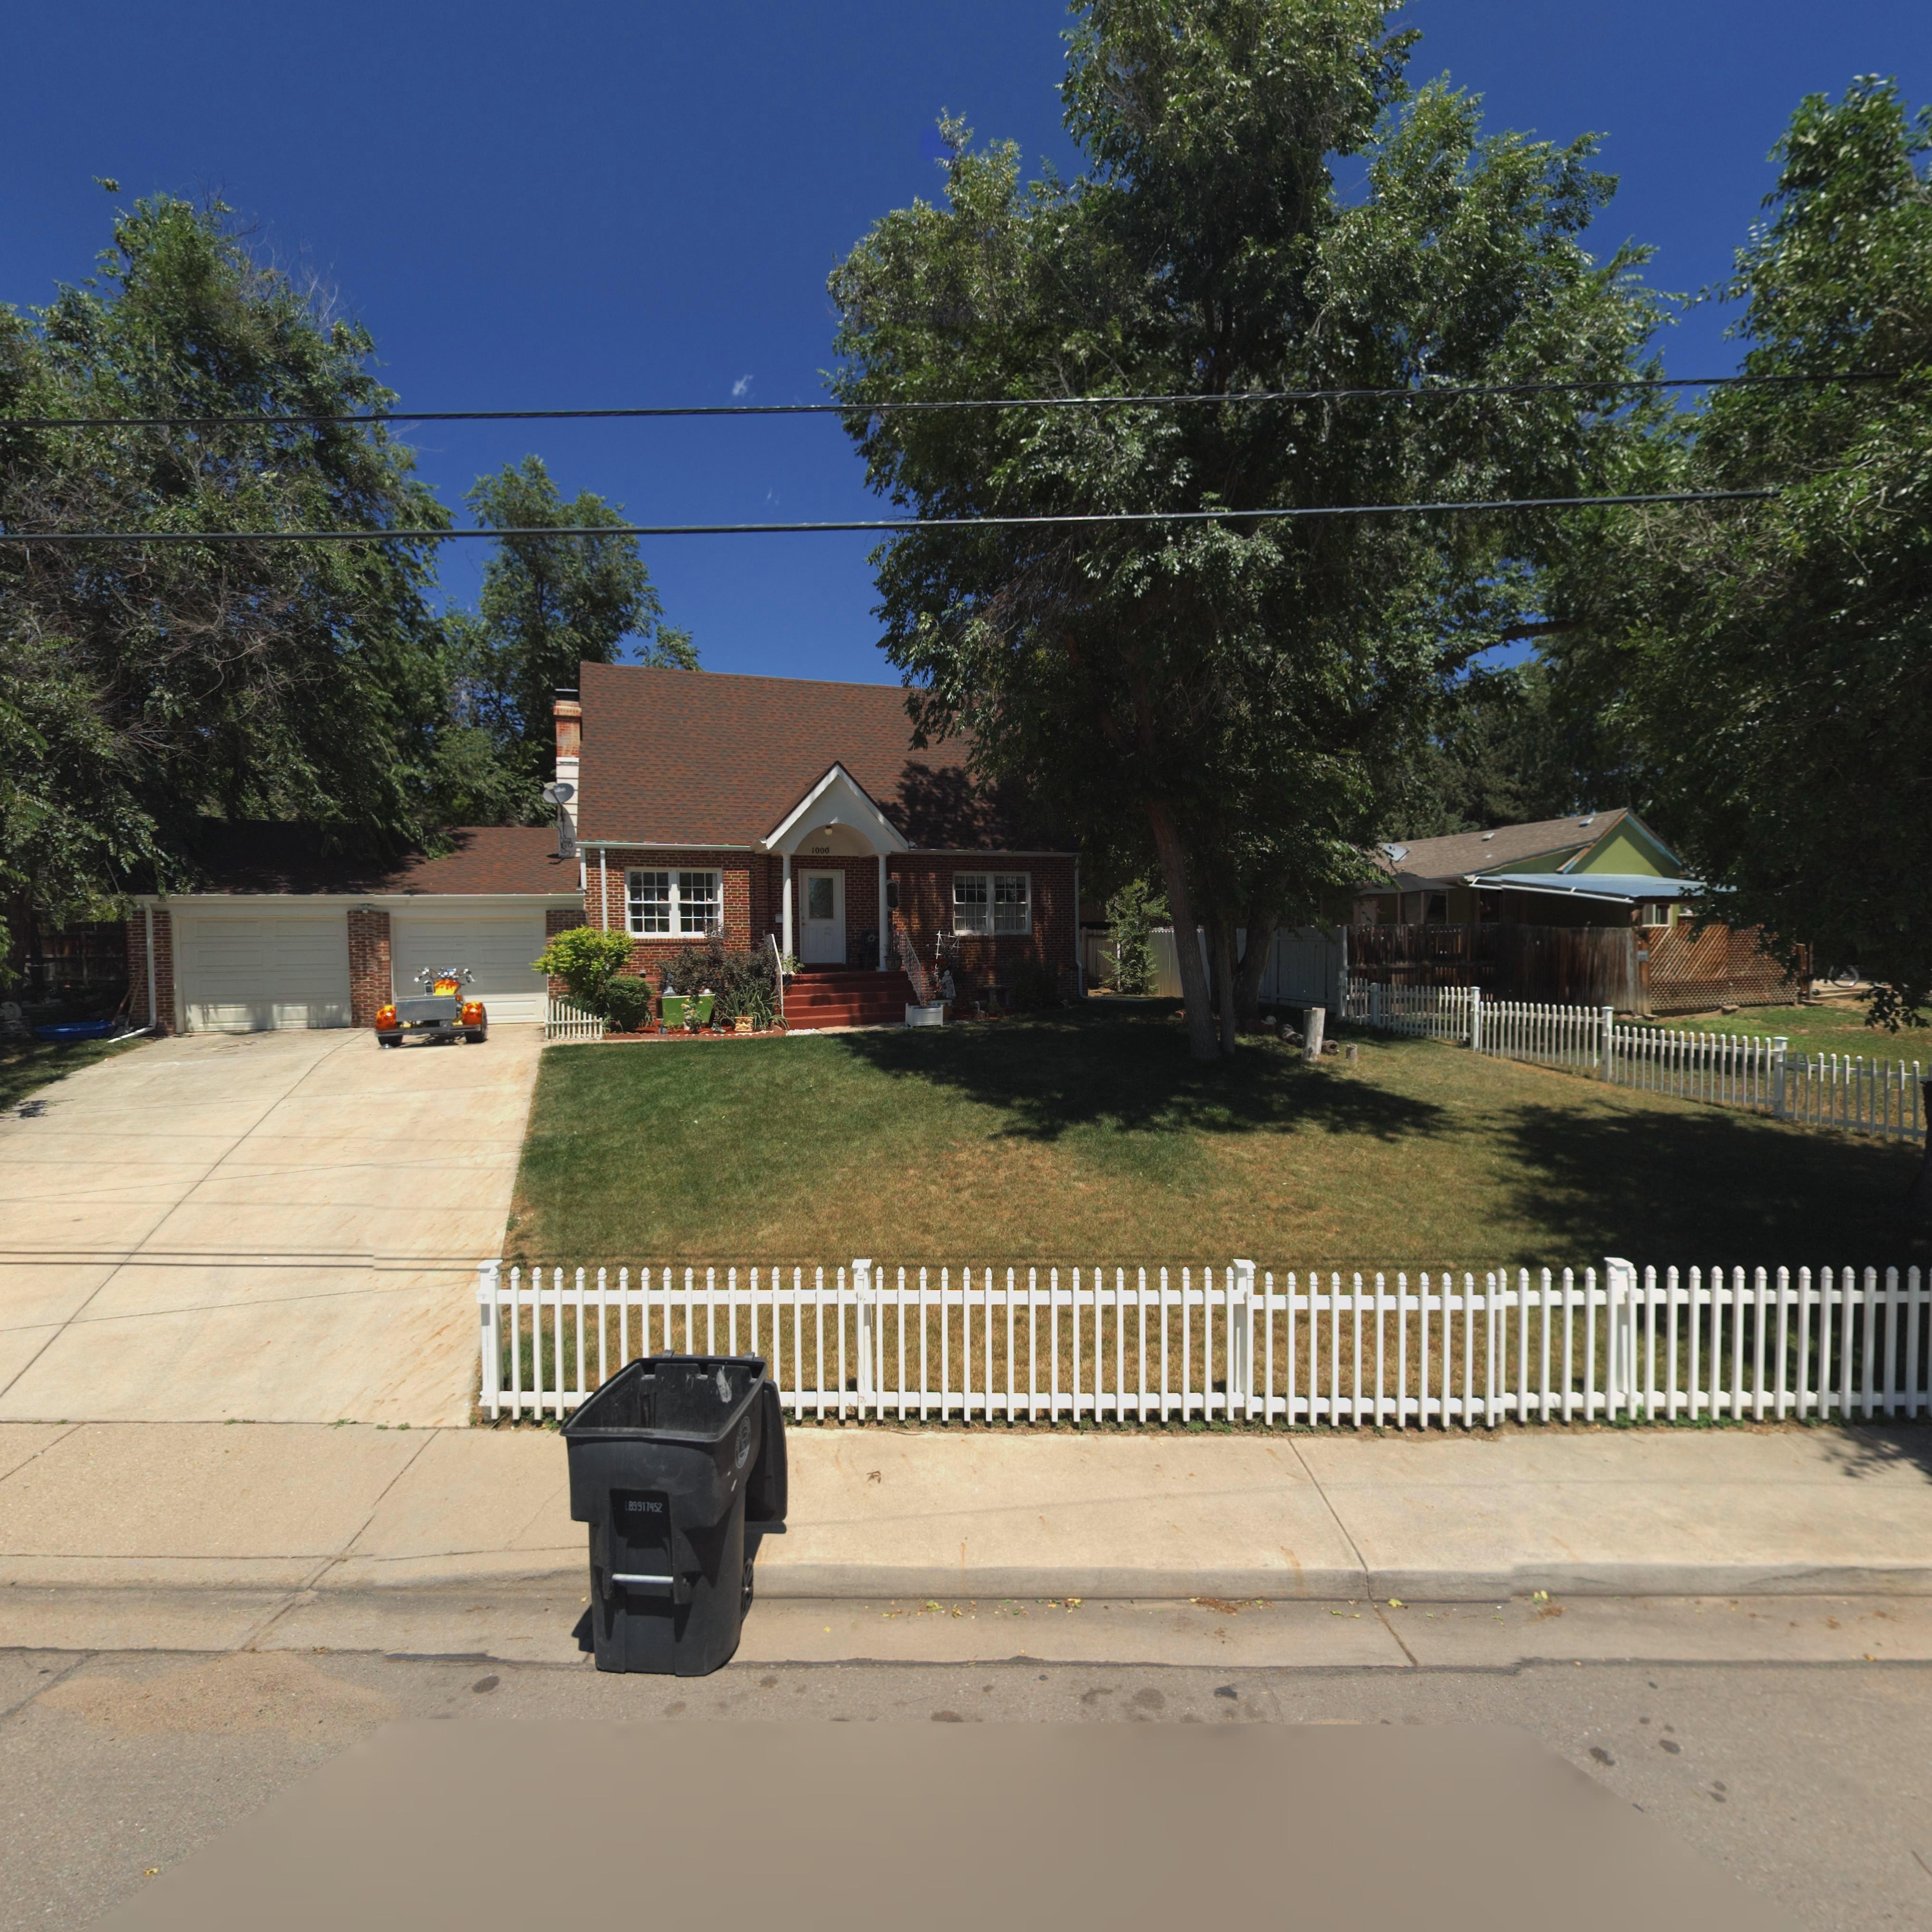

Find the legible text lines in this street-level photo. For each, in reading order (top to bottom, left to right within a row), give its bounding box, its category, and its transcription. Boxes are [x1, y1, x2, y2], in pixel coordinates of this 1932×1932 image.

[812, 847, 829, 854] StreetNumber: 1000